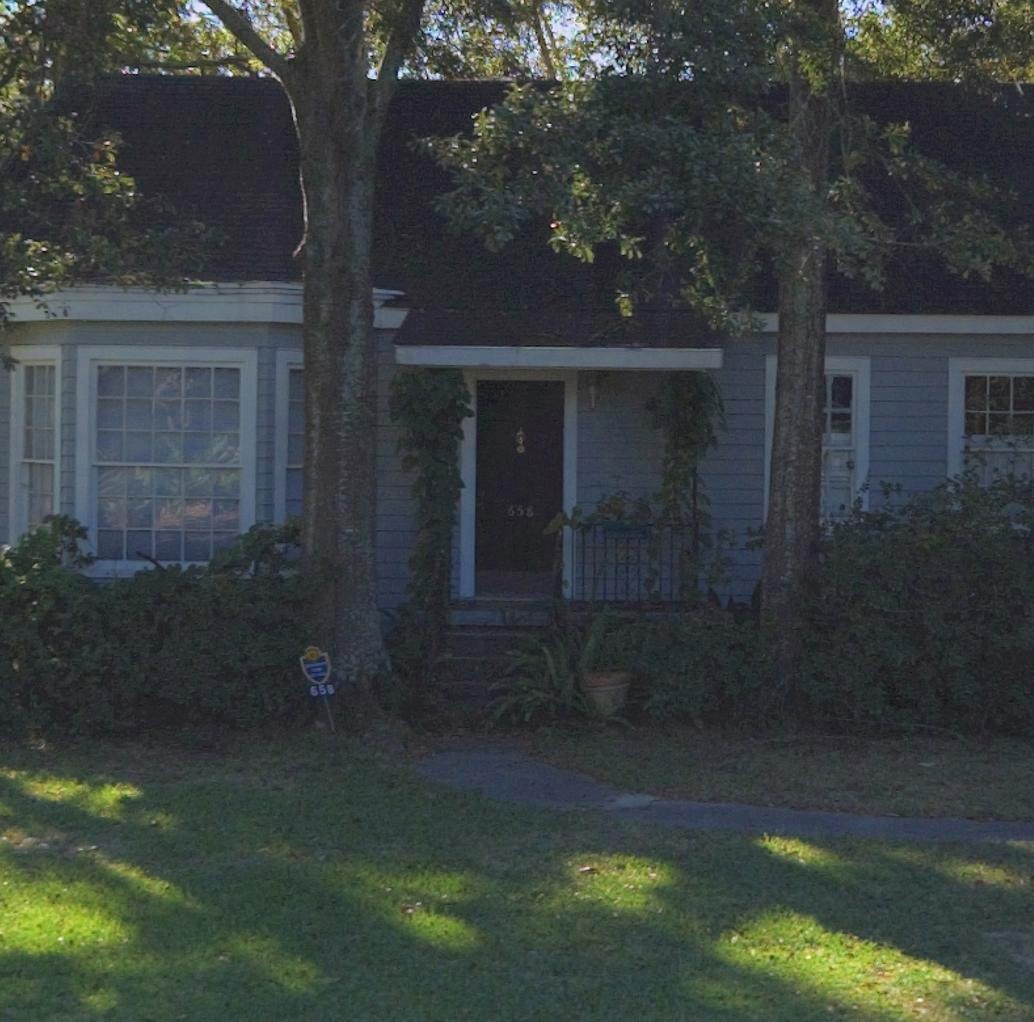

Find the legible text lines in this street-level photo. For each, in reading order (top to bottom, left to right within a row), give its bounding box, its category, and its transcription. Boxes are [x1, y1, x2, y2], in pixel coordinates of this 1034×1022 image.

[506, 504, 535, 519] StreetNumber: 658
[308, 683, 336, 697] StreetNumber: 658